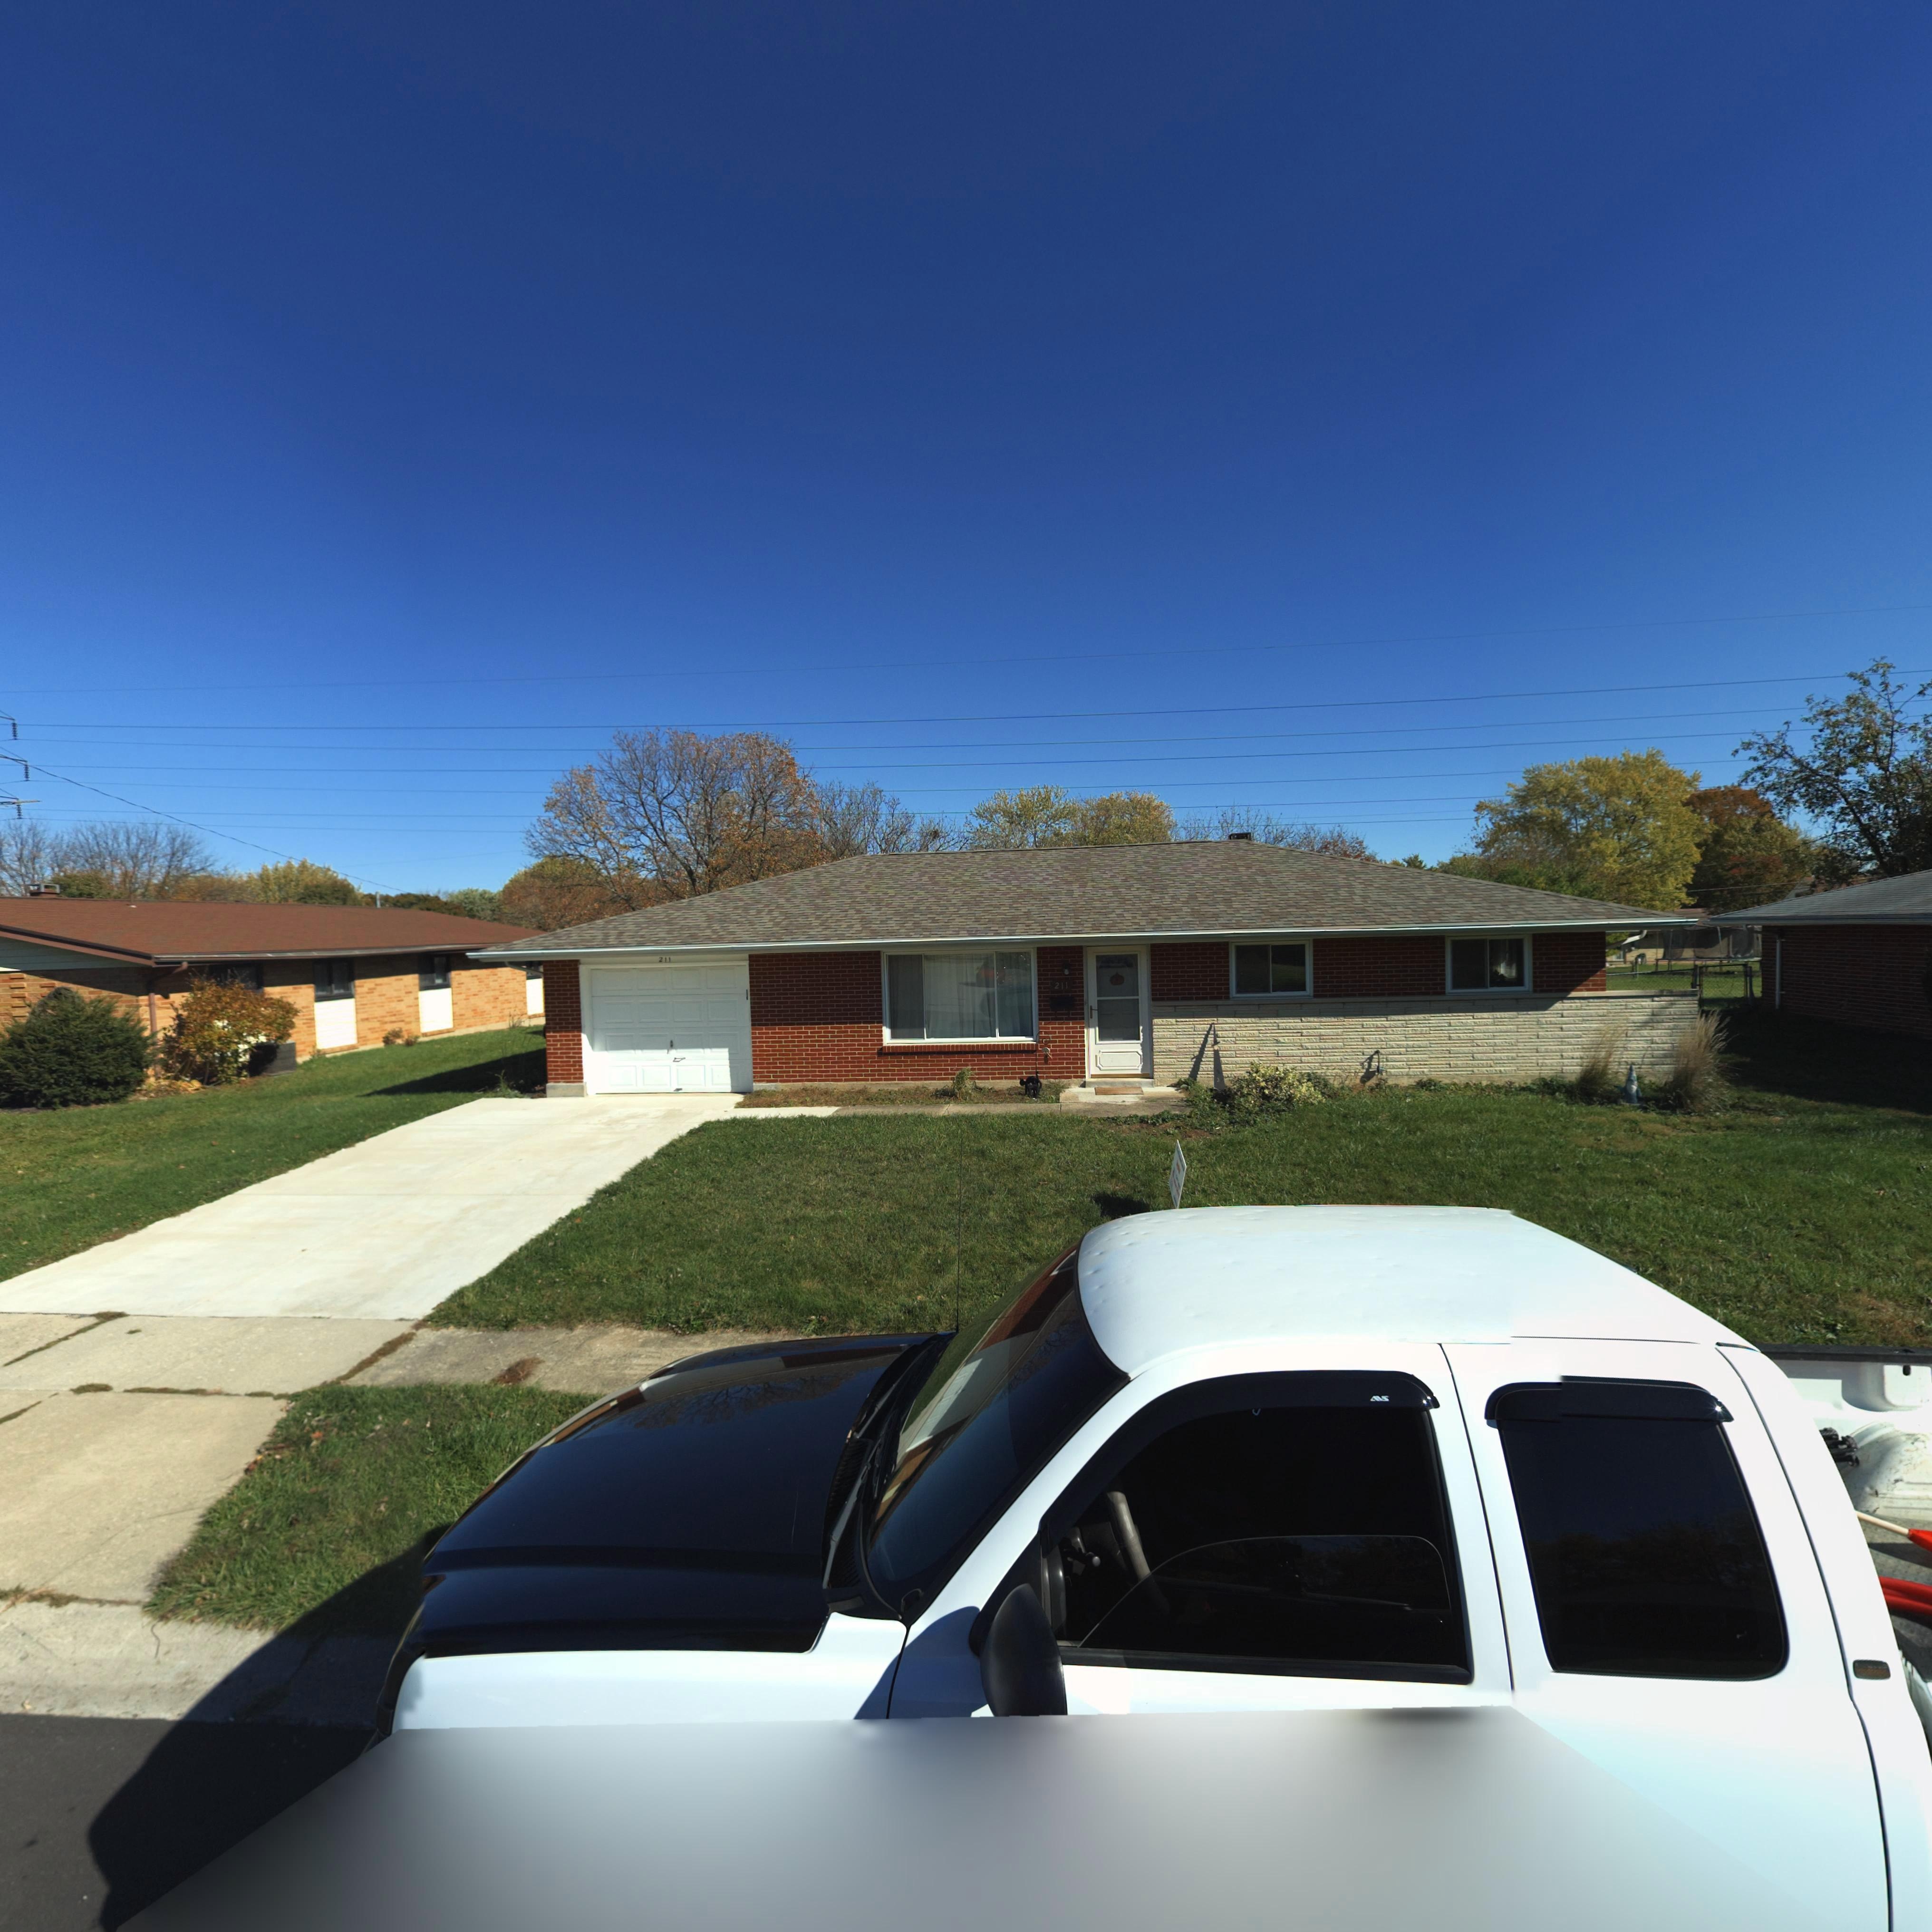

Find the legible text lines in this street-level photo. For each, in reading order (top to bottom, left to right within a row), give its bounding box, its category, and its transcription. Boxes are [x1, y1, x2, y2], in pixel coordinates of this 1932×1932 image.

[658, 956, 671, 963] StreetNumber: 211
[1054, 981, 1068, 989] StreetNumber: 211